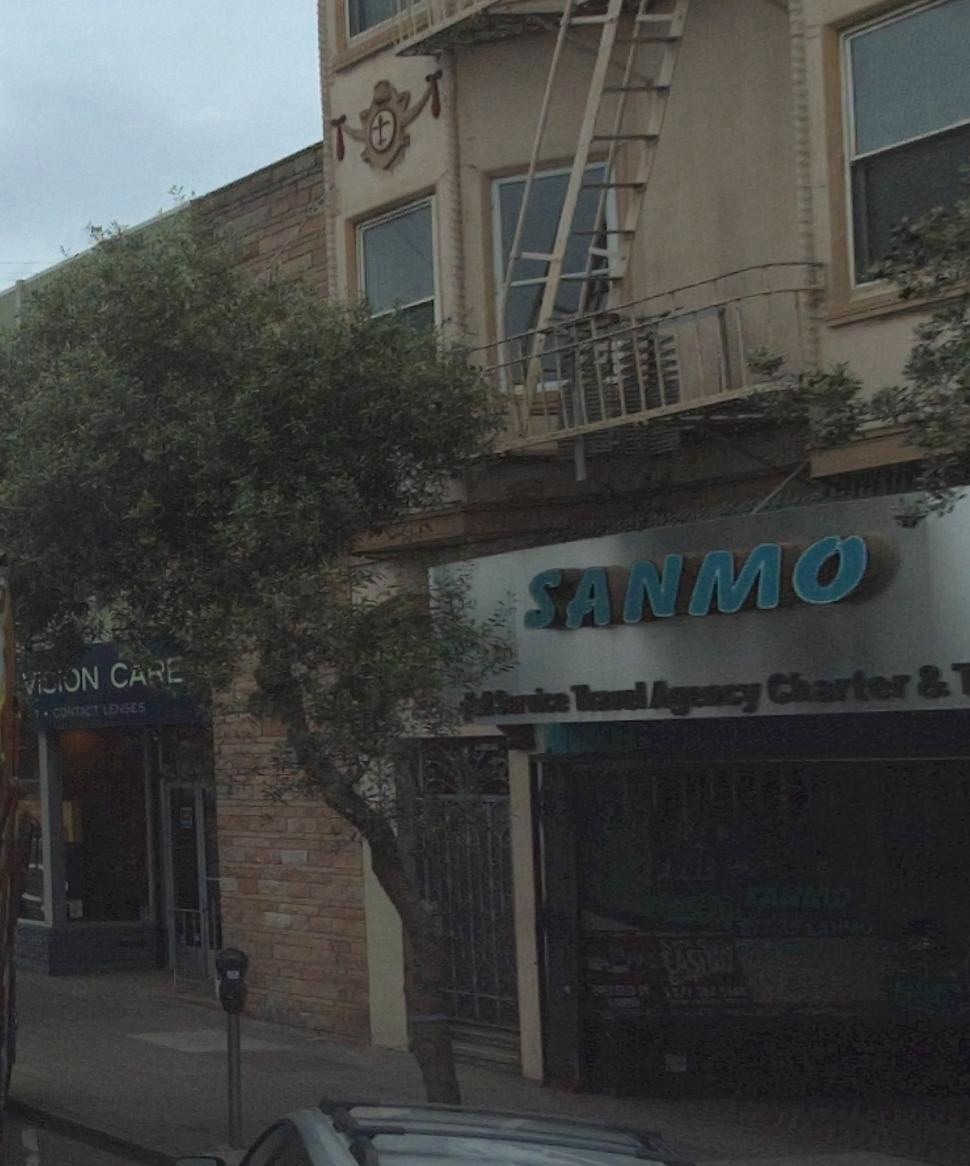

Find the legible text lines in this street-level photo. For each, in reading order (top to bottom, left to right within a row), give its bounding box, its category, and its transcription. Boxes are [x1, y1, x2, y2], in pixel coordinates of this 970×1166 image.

[518, 529, 877, 638] BusinessName: SANMO
[79, 659, 131, 694] BusinessName: N C
[762, 666, 916, 708] None: Character
[674, 946, 704, 979] None: AS